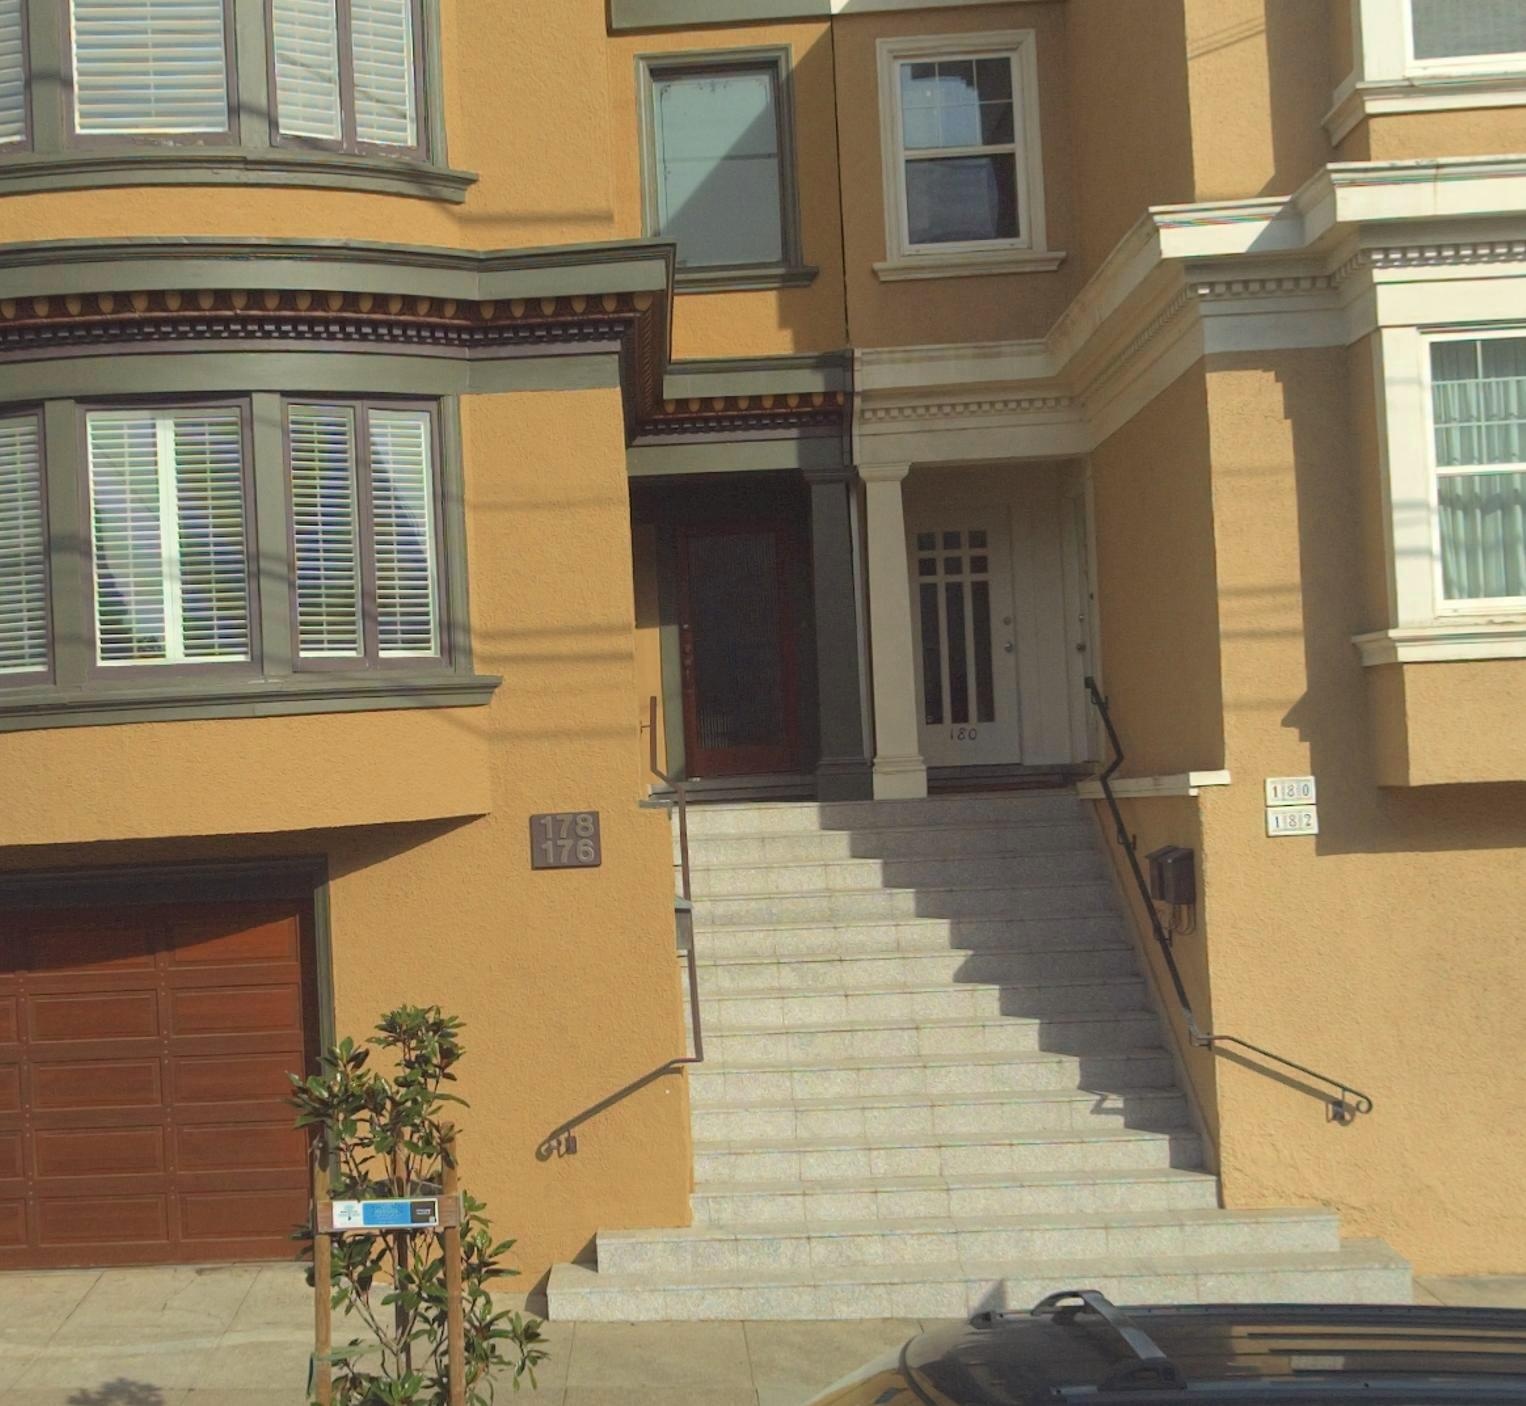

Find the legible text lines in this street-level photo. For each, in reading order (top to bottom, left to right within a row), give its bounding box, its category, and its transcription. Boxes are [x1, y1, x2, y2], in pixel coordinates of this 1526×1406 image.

[949, 724, 979, 742] StreetNumber: 180
[1270, 782, 1313, 799] StreetNumber: 180
[539, 811, 596, 839] StreetNumber: 178
[1272, 811, 1315, 829] StreetNumber: 182
[540, 838, 597, 865] StreetNumber: 176